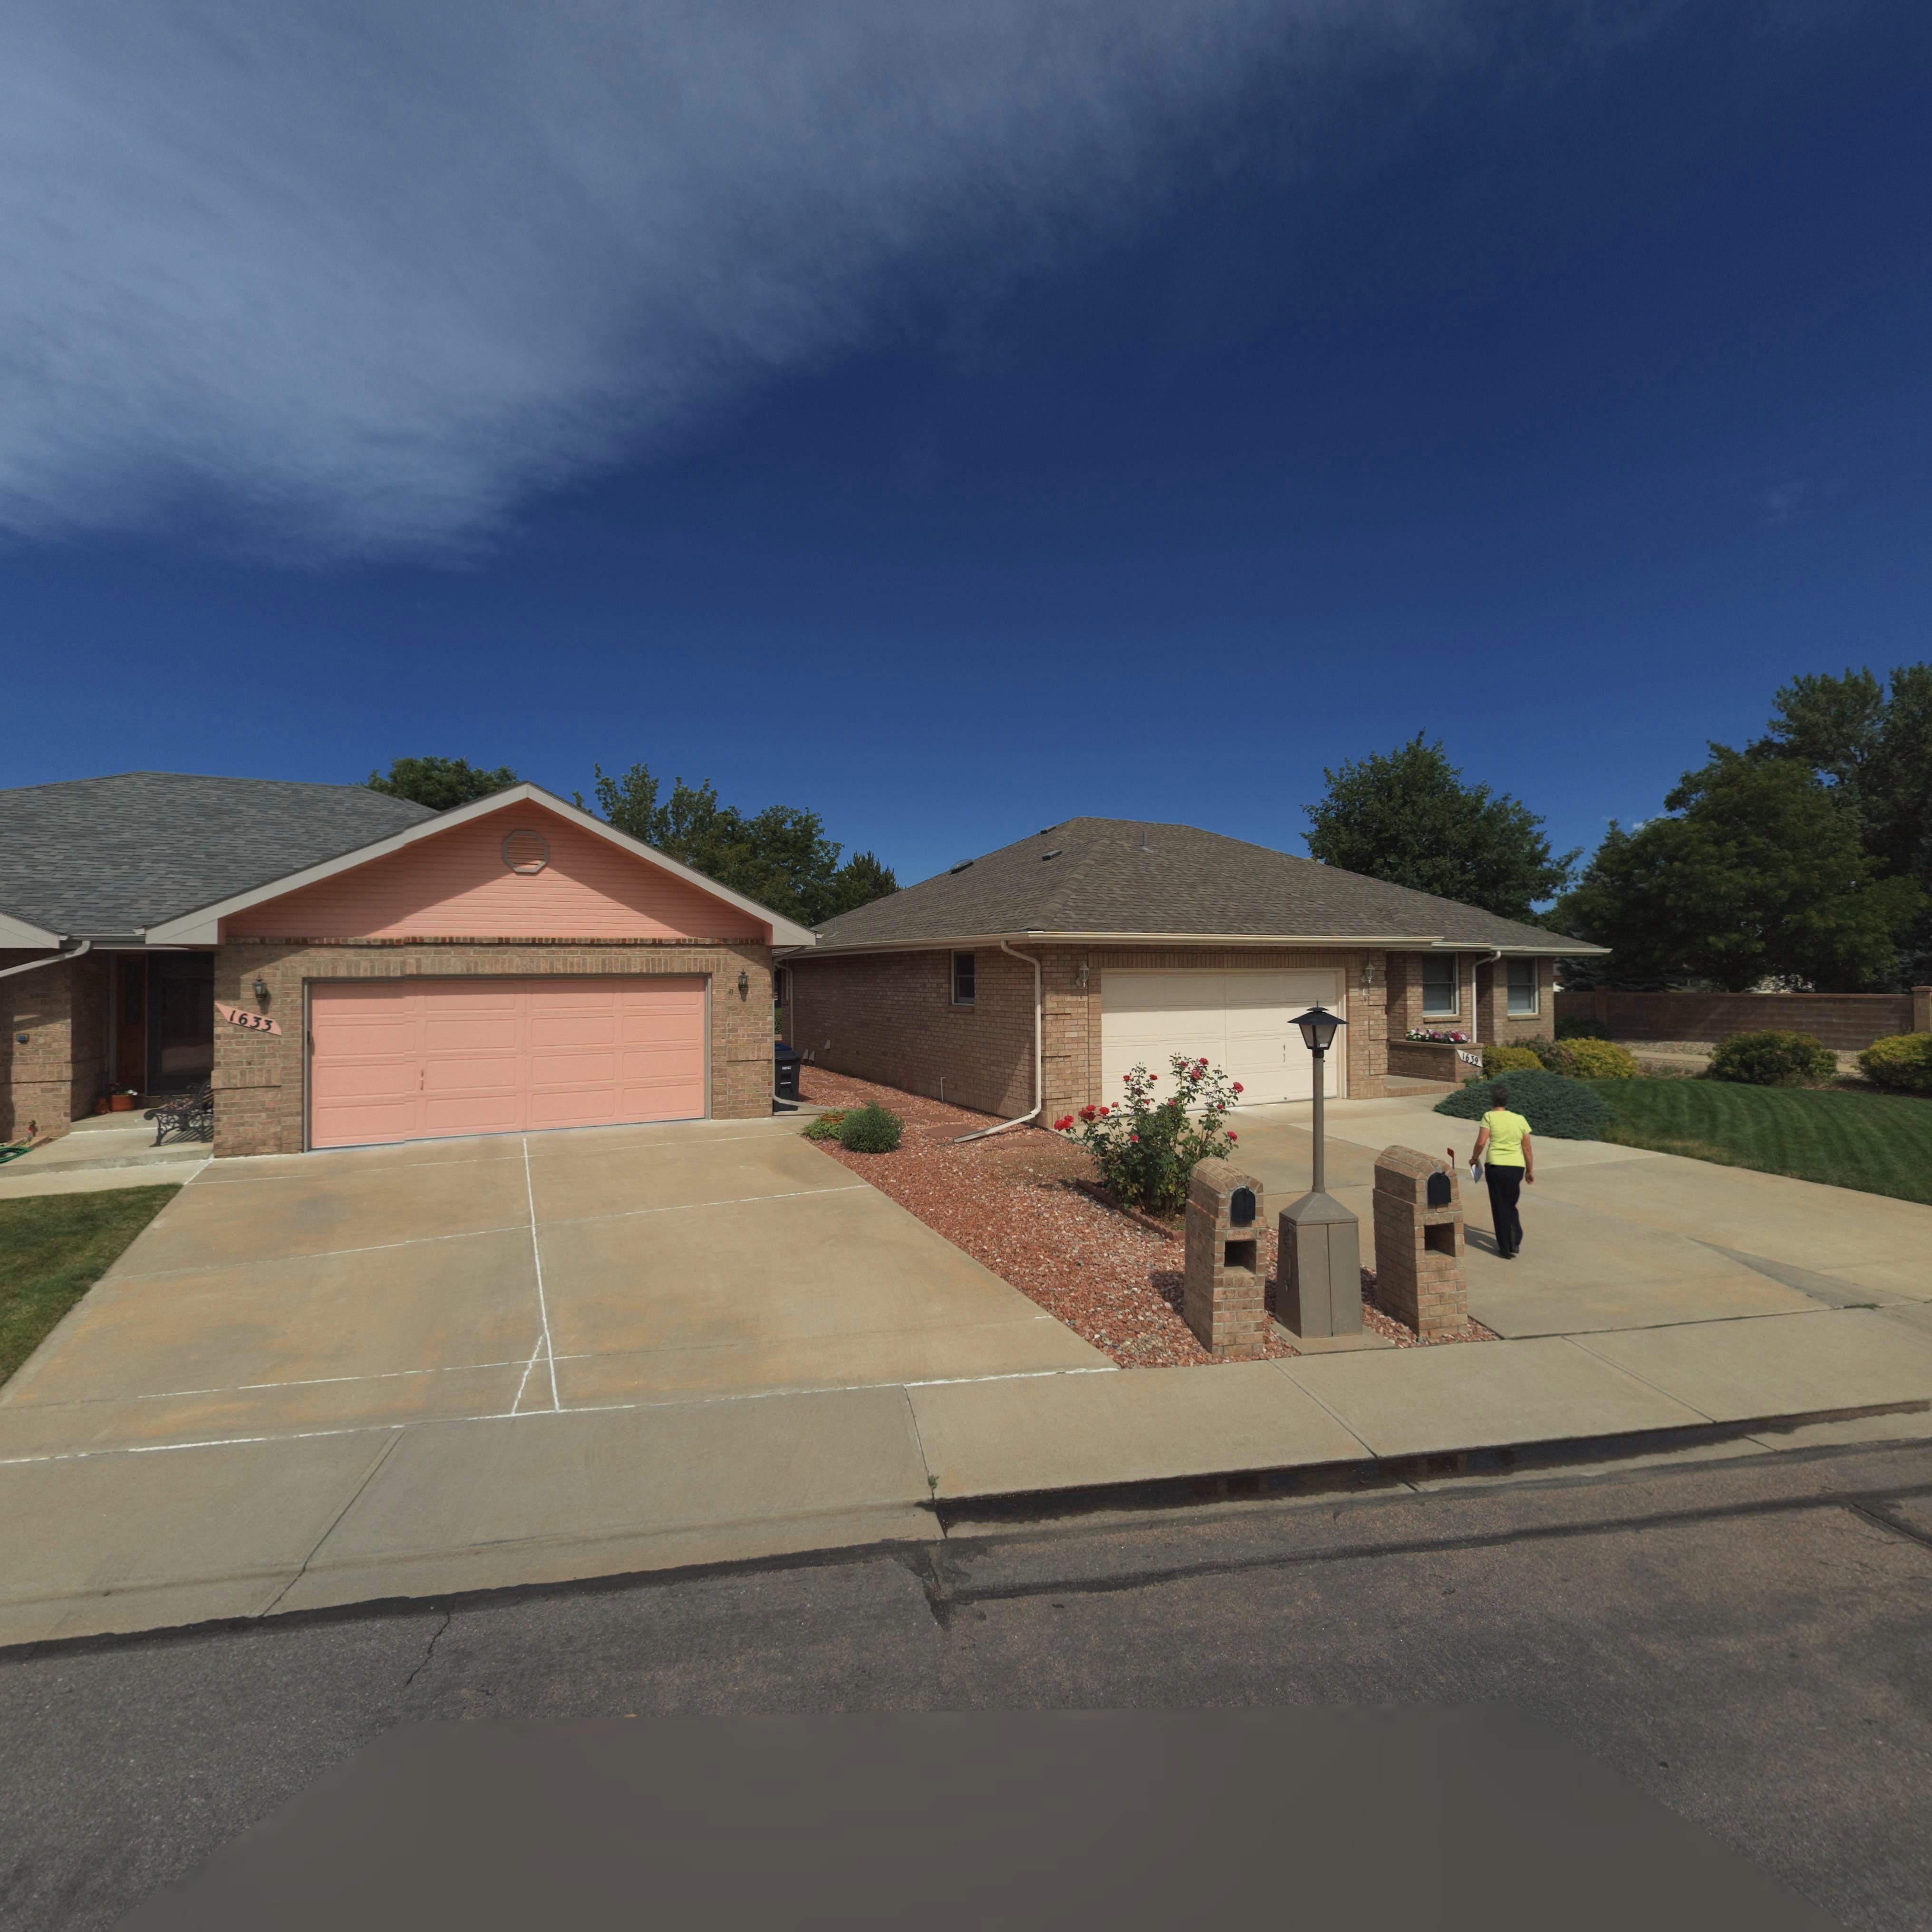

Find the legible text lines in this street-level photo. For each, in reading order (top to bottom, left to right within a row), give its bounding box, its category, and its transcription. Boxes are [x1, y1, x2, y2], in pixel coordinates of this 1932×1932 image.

[229, 1009, 273, 1032] StreetNumber: 1633
[1461, 1052, 1479, 1065] StreetNumber: 1639